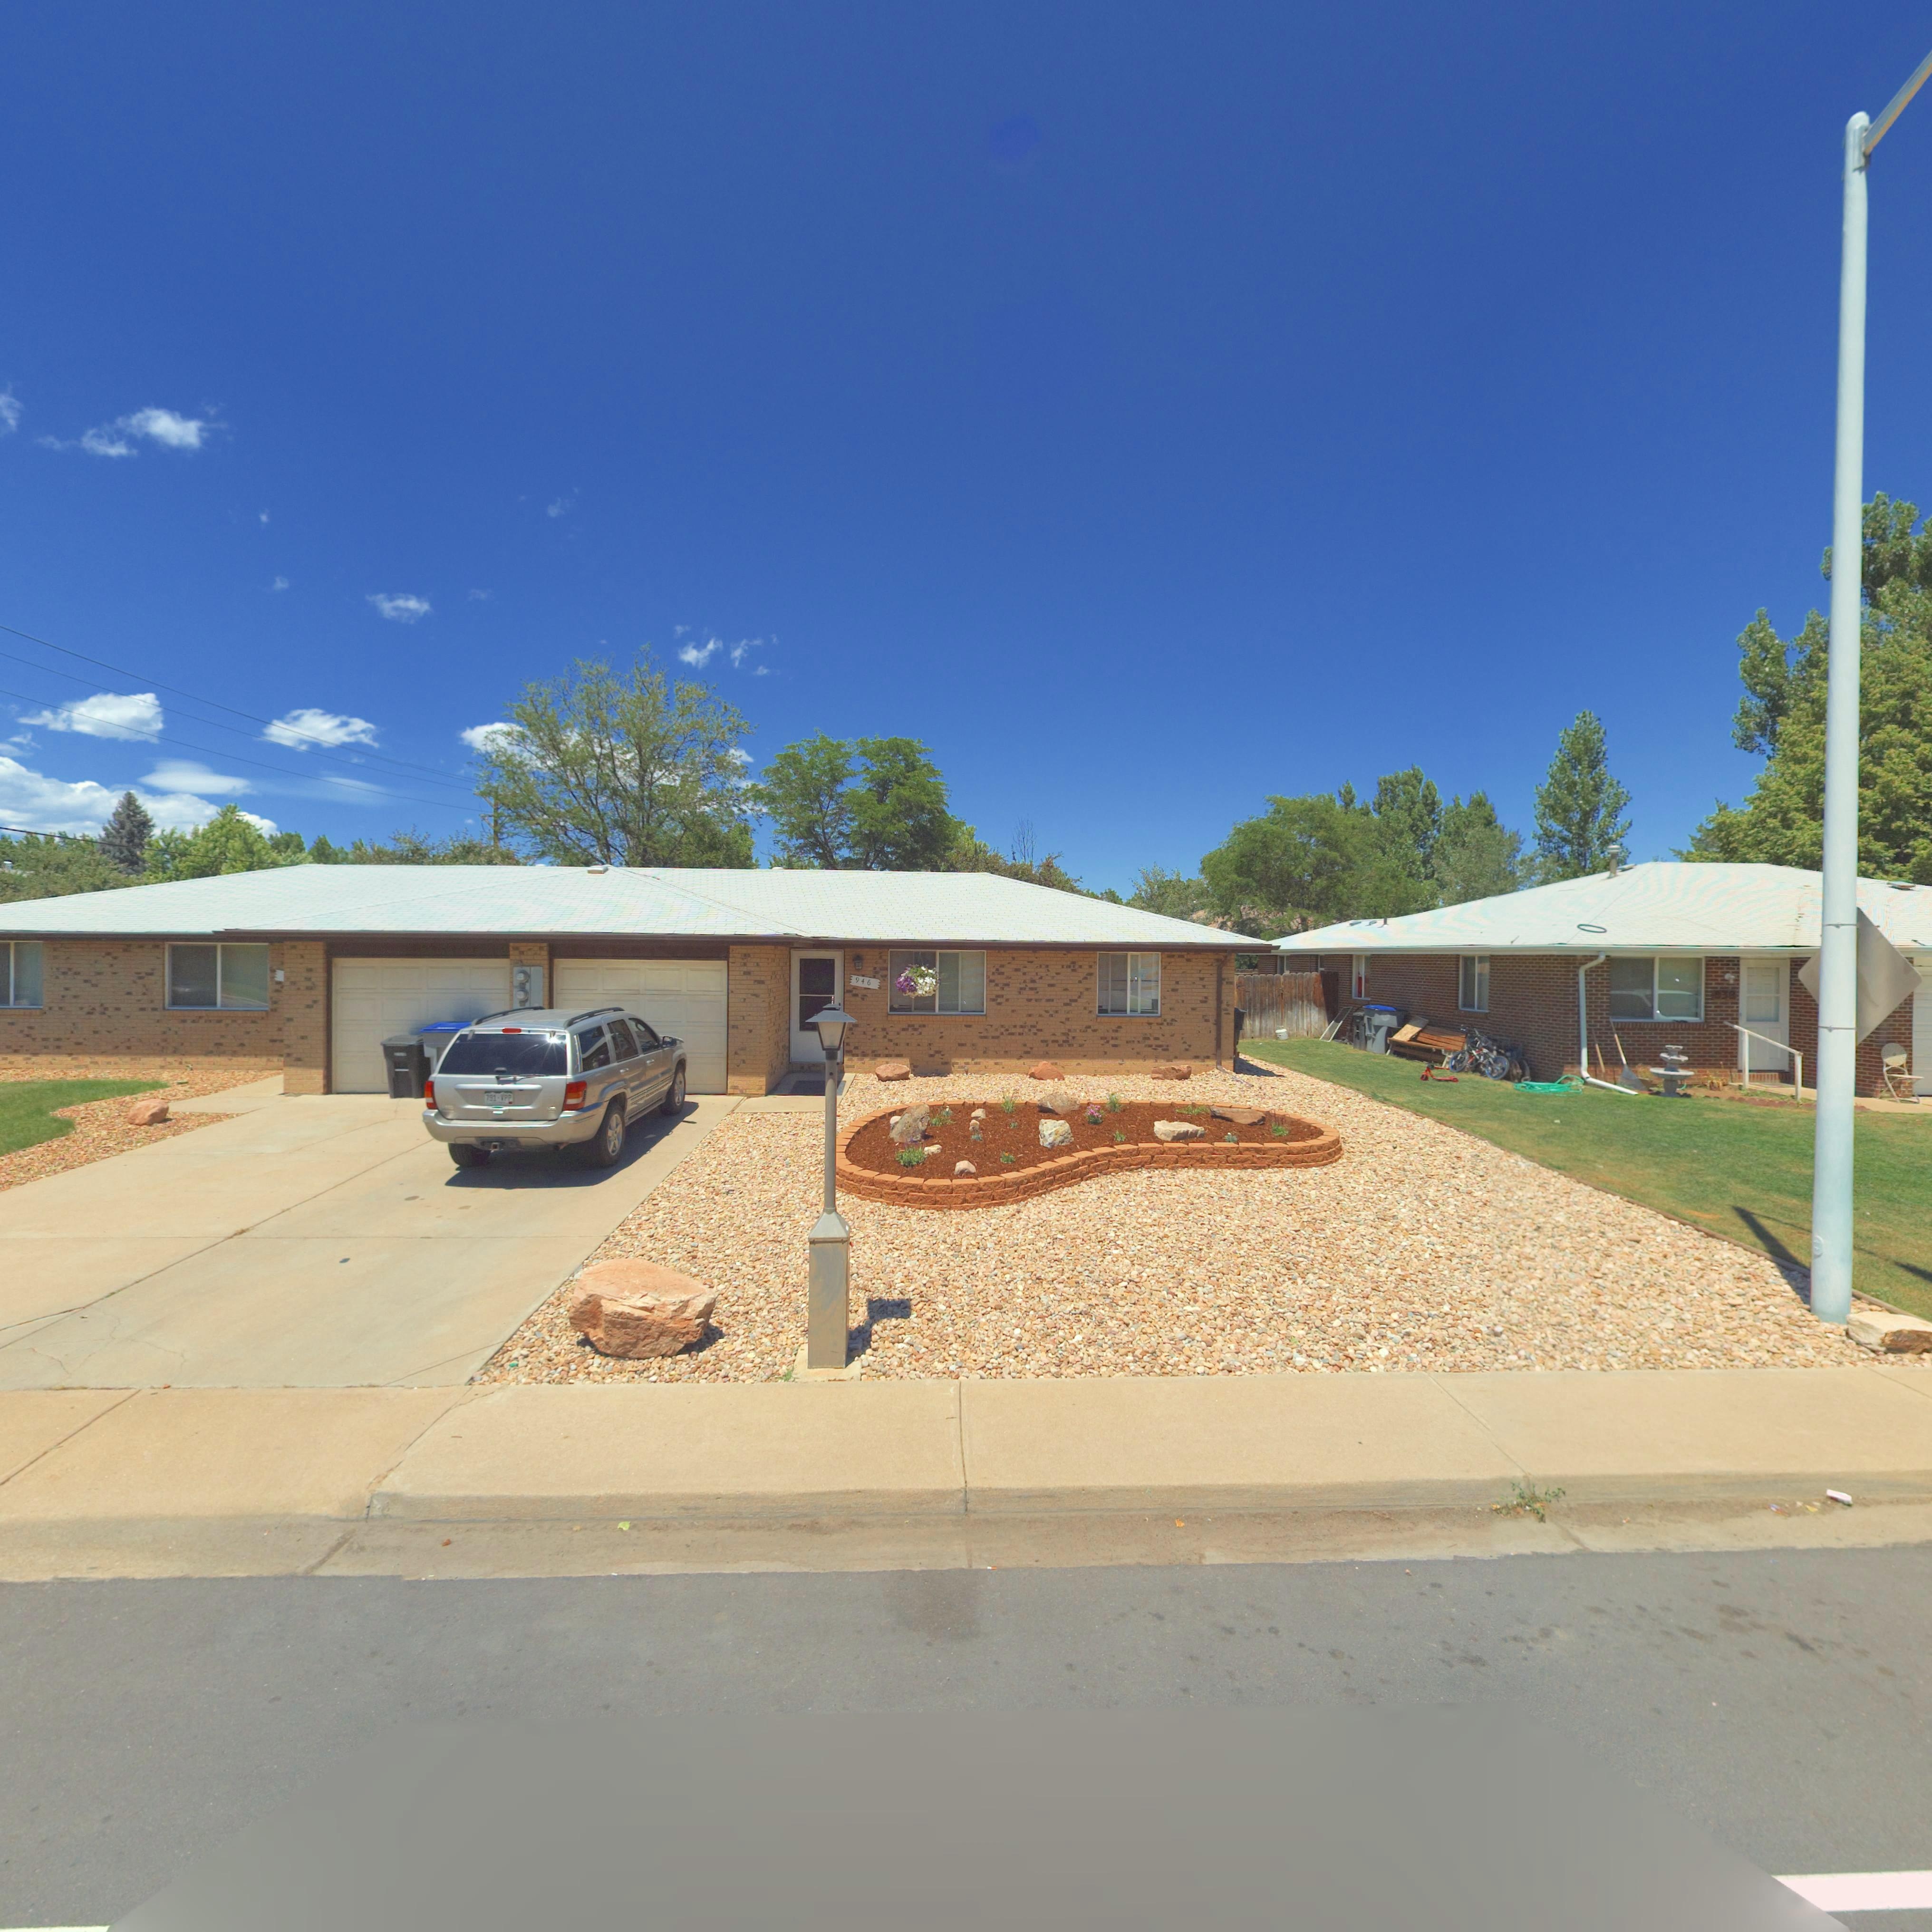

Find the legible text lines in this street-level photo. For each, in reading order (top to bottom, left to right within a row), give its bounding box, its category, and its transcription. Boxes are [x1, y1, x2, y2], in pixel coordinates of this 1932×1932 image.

[855, 976, 871, 986] StreetNumber: 946
[1713, 990, 1736, 1000] StreetNumber: *38